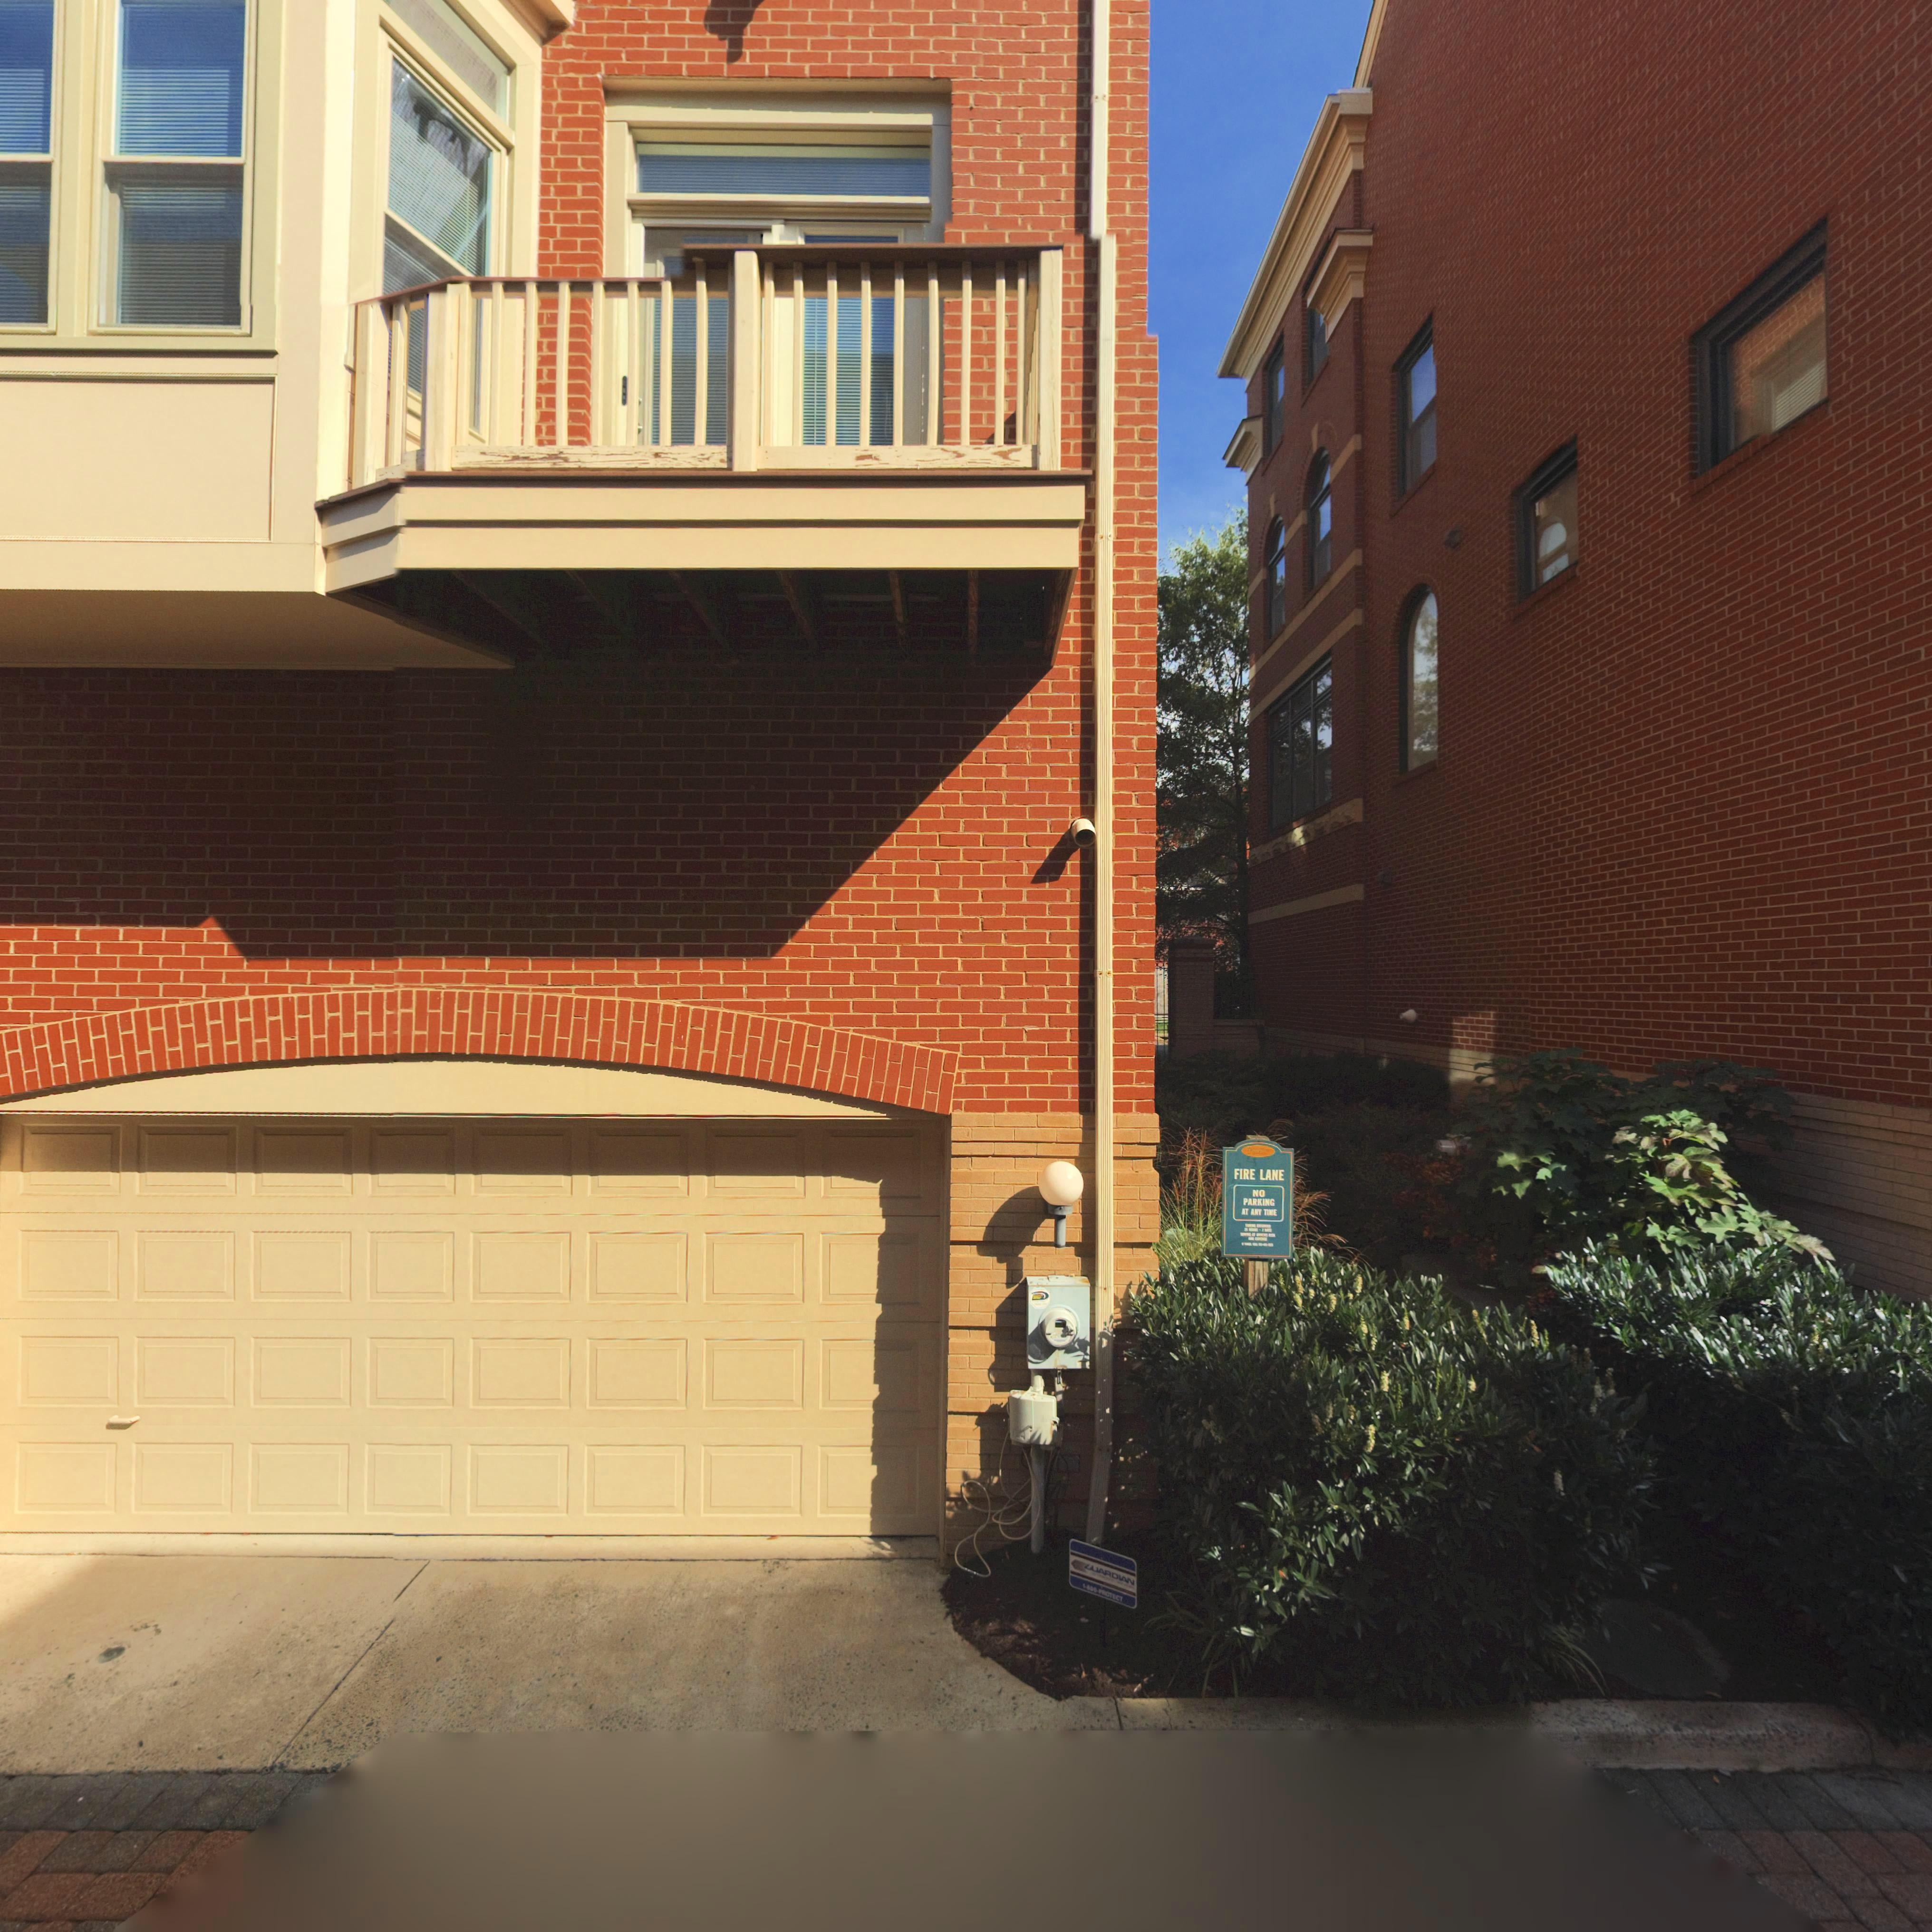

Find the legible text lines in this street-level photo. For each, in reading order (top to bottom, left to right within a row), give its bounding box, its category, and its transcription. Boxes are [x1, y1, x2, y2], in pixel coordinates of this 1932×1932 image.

[1233, 1167, 1285, 1181] None: FIRE LANE
[1252, 1188, 1266, 1198] None: NO
[1242, 1197, 1275, 1207] None: PARKING
[1240, 1207, 1278, 1217] None: AT ANY TIME
[1083, 1563, 1135, 1586] None: GUARDIAN
[1082, 1583, 1124, 1603] None: 1-***-PROTECT